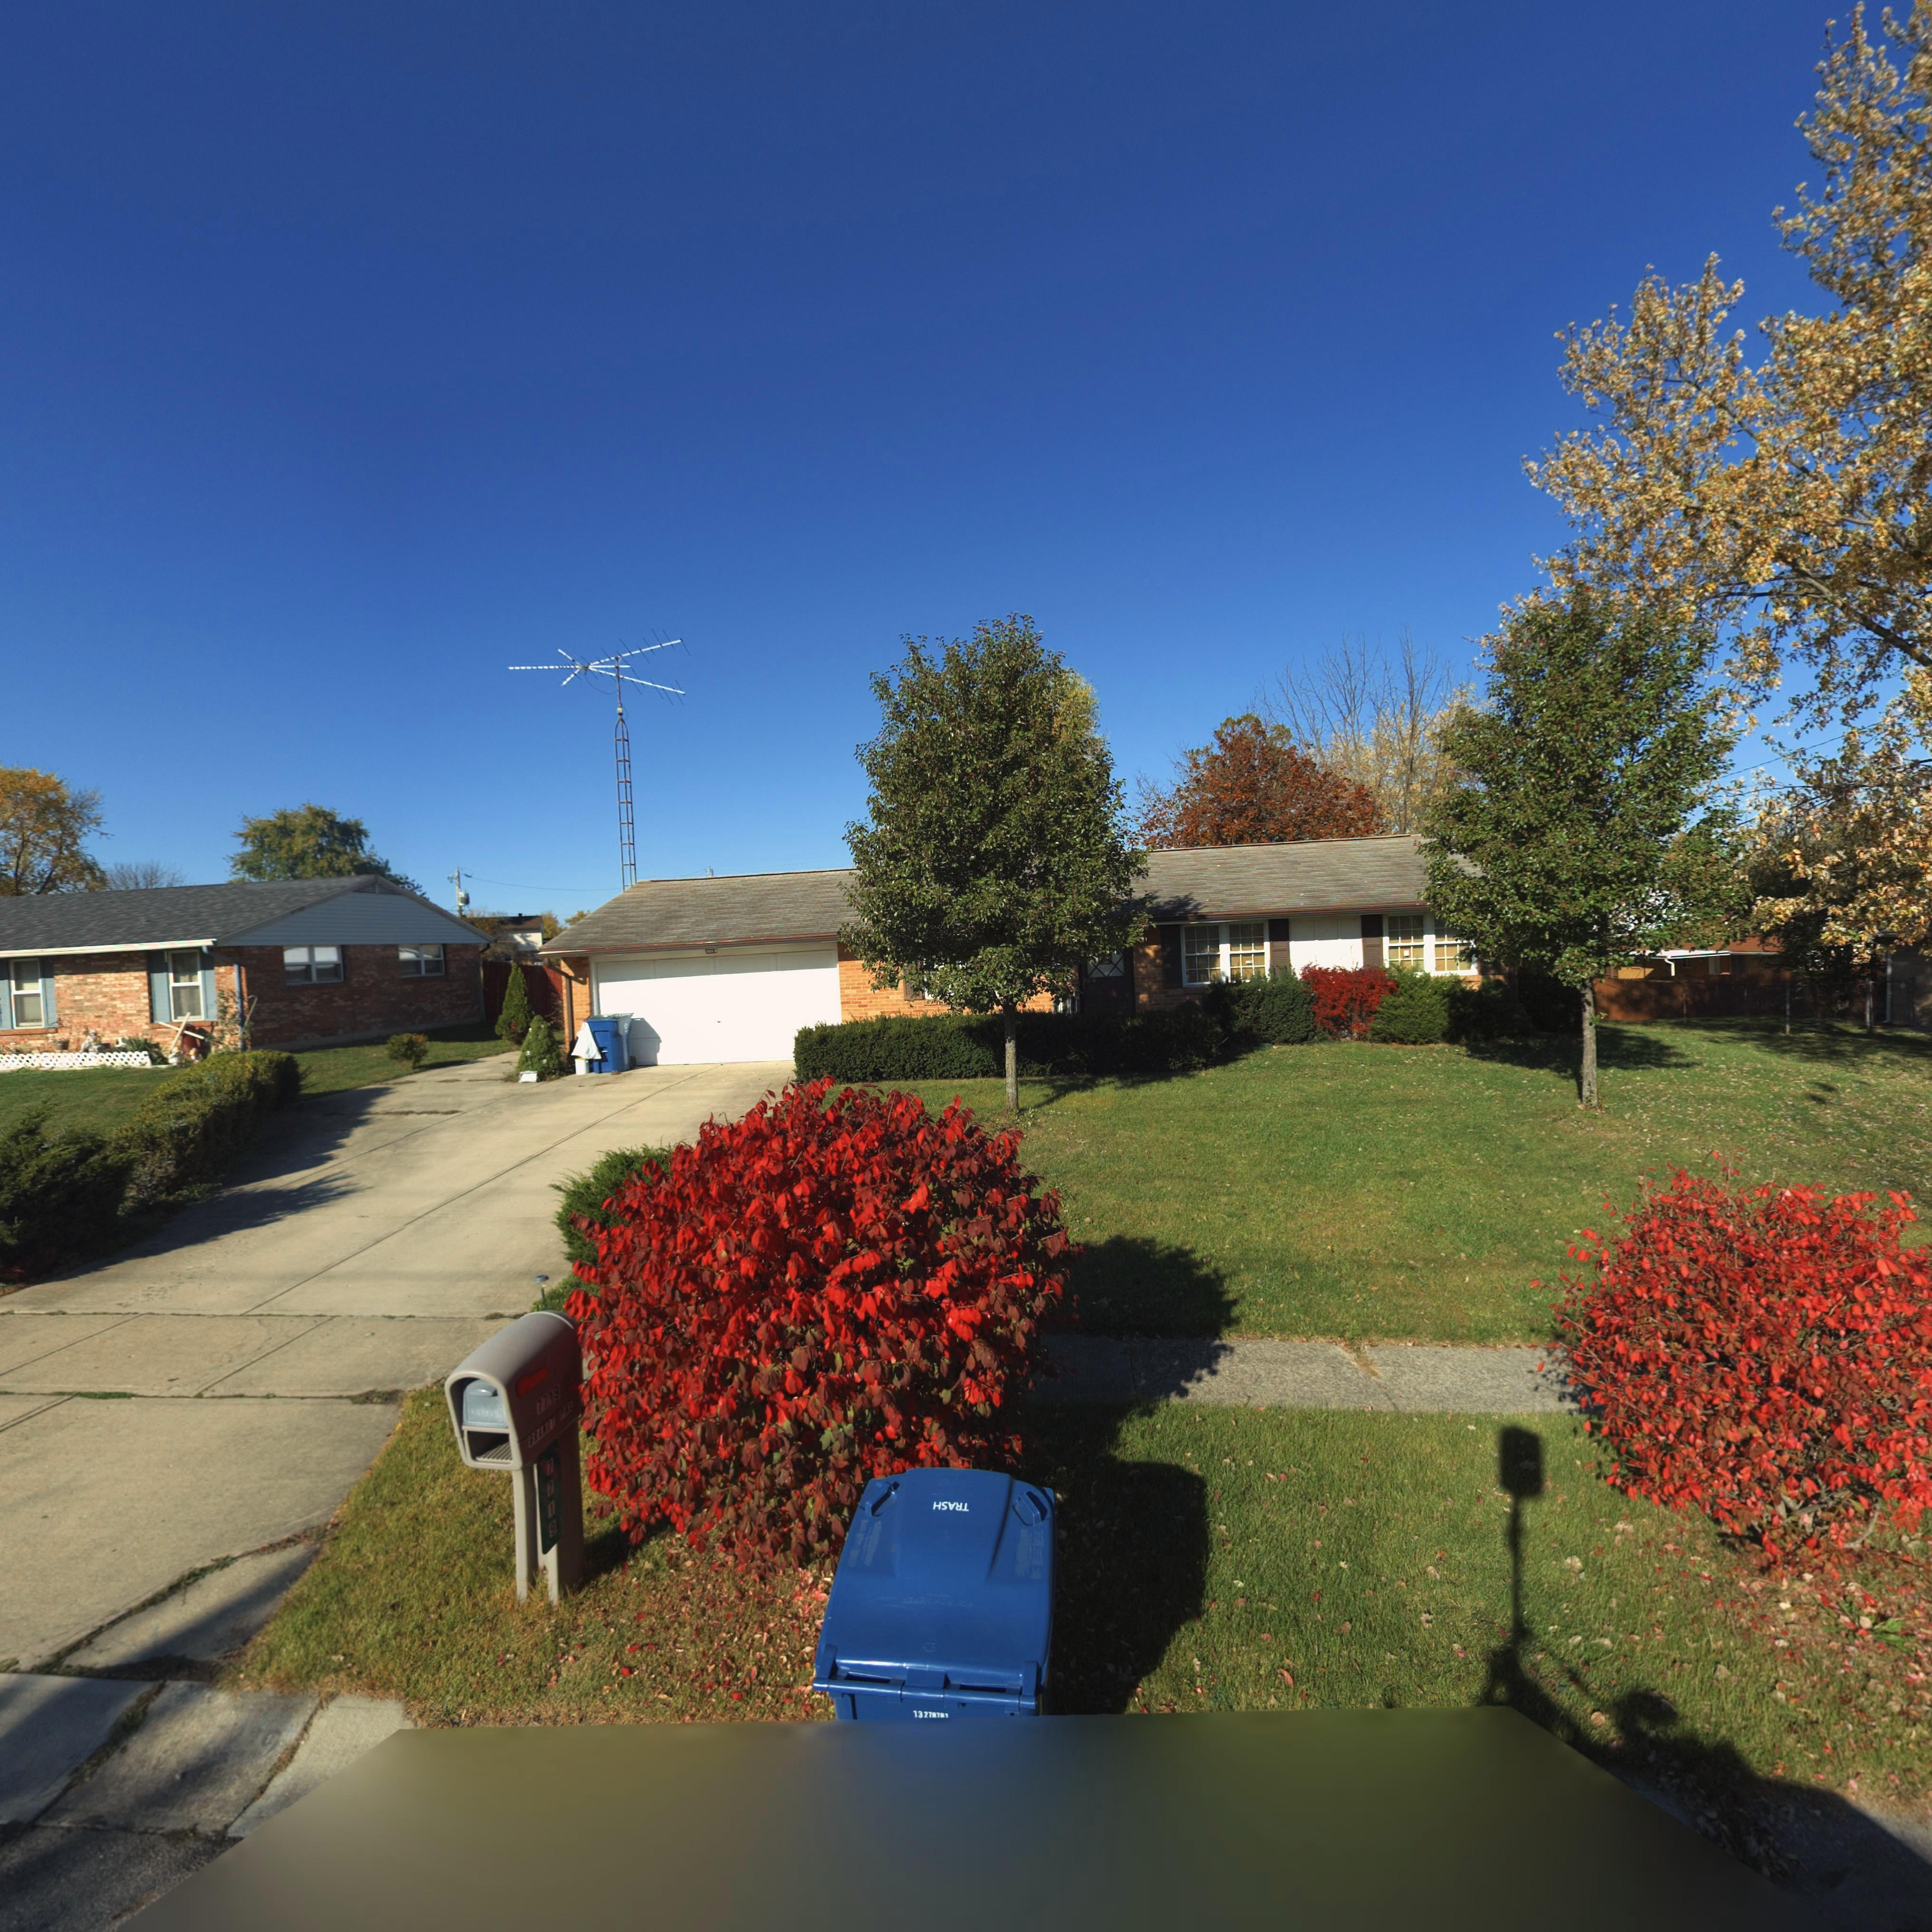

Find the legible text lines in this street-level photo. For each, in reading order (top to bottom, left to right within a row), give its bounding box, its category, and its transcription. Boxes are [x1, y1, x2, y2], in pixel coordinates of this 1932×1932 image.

[534, 1382, 561, 1415] StreetNumber: 7719
[545, 1457, 557, 1537] StreetNumber: 7719